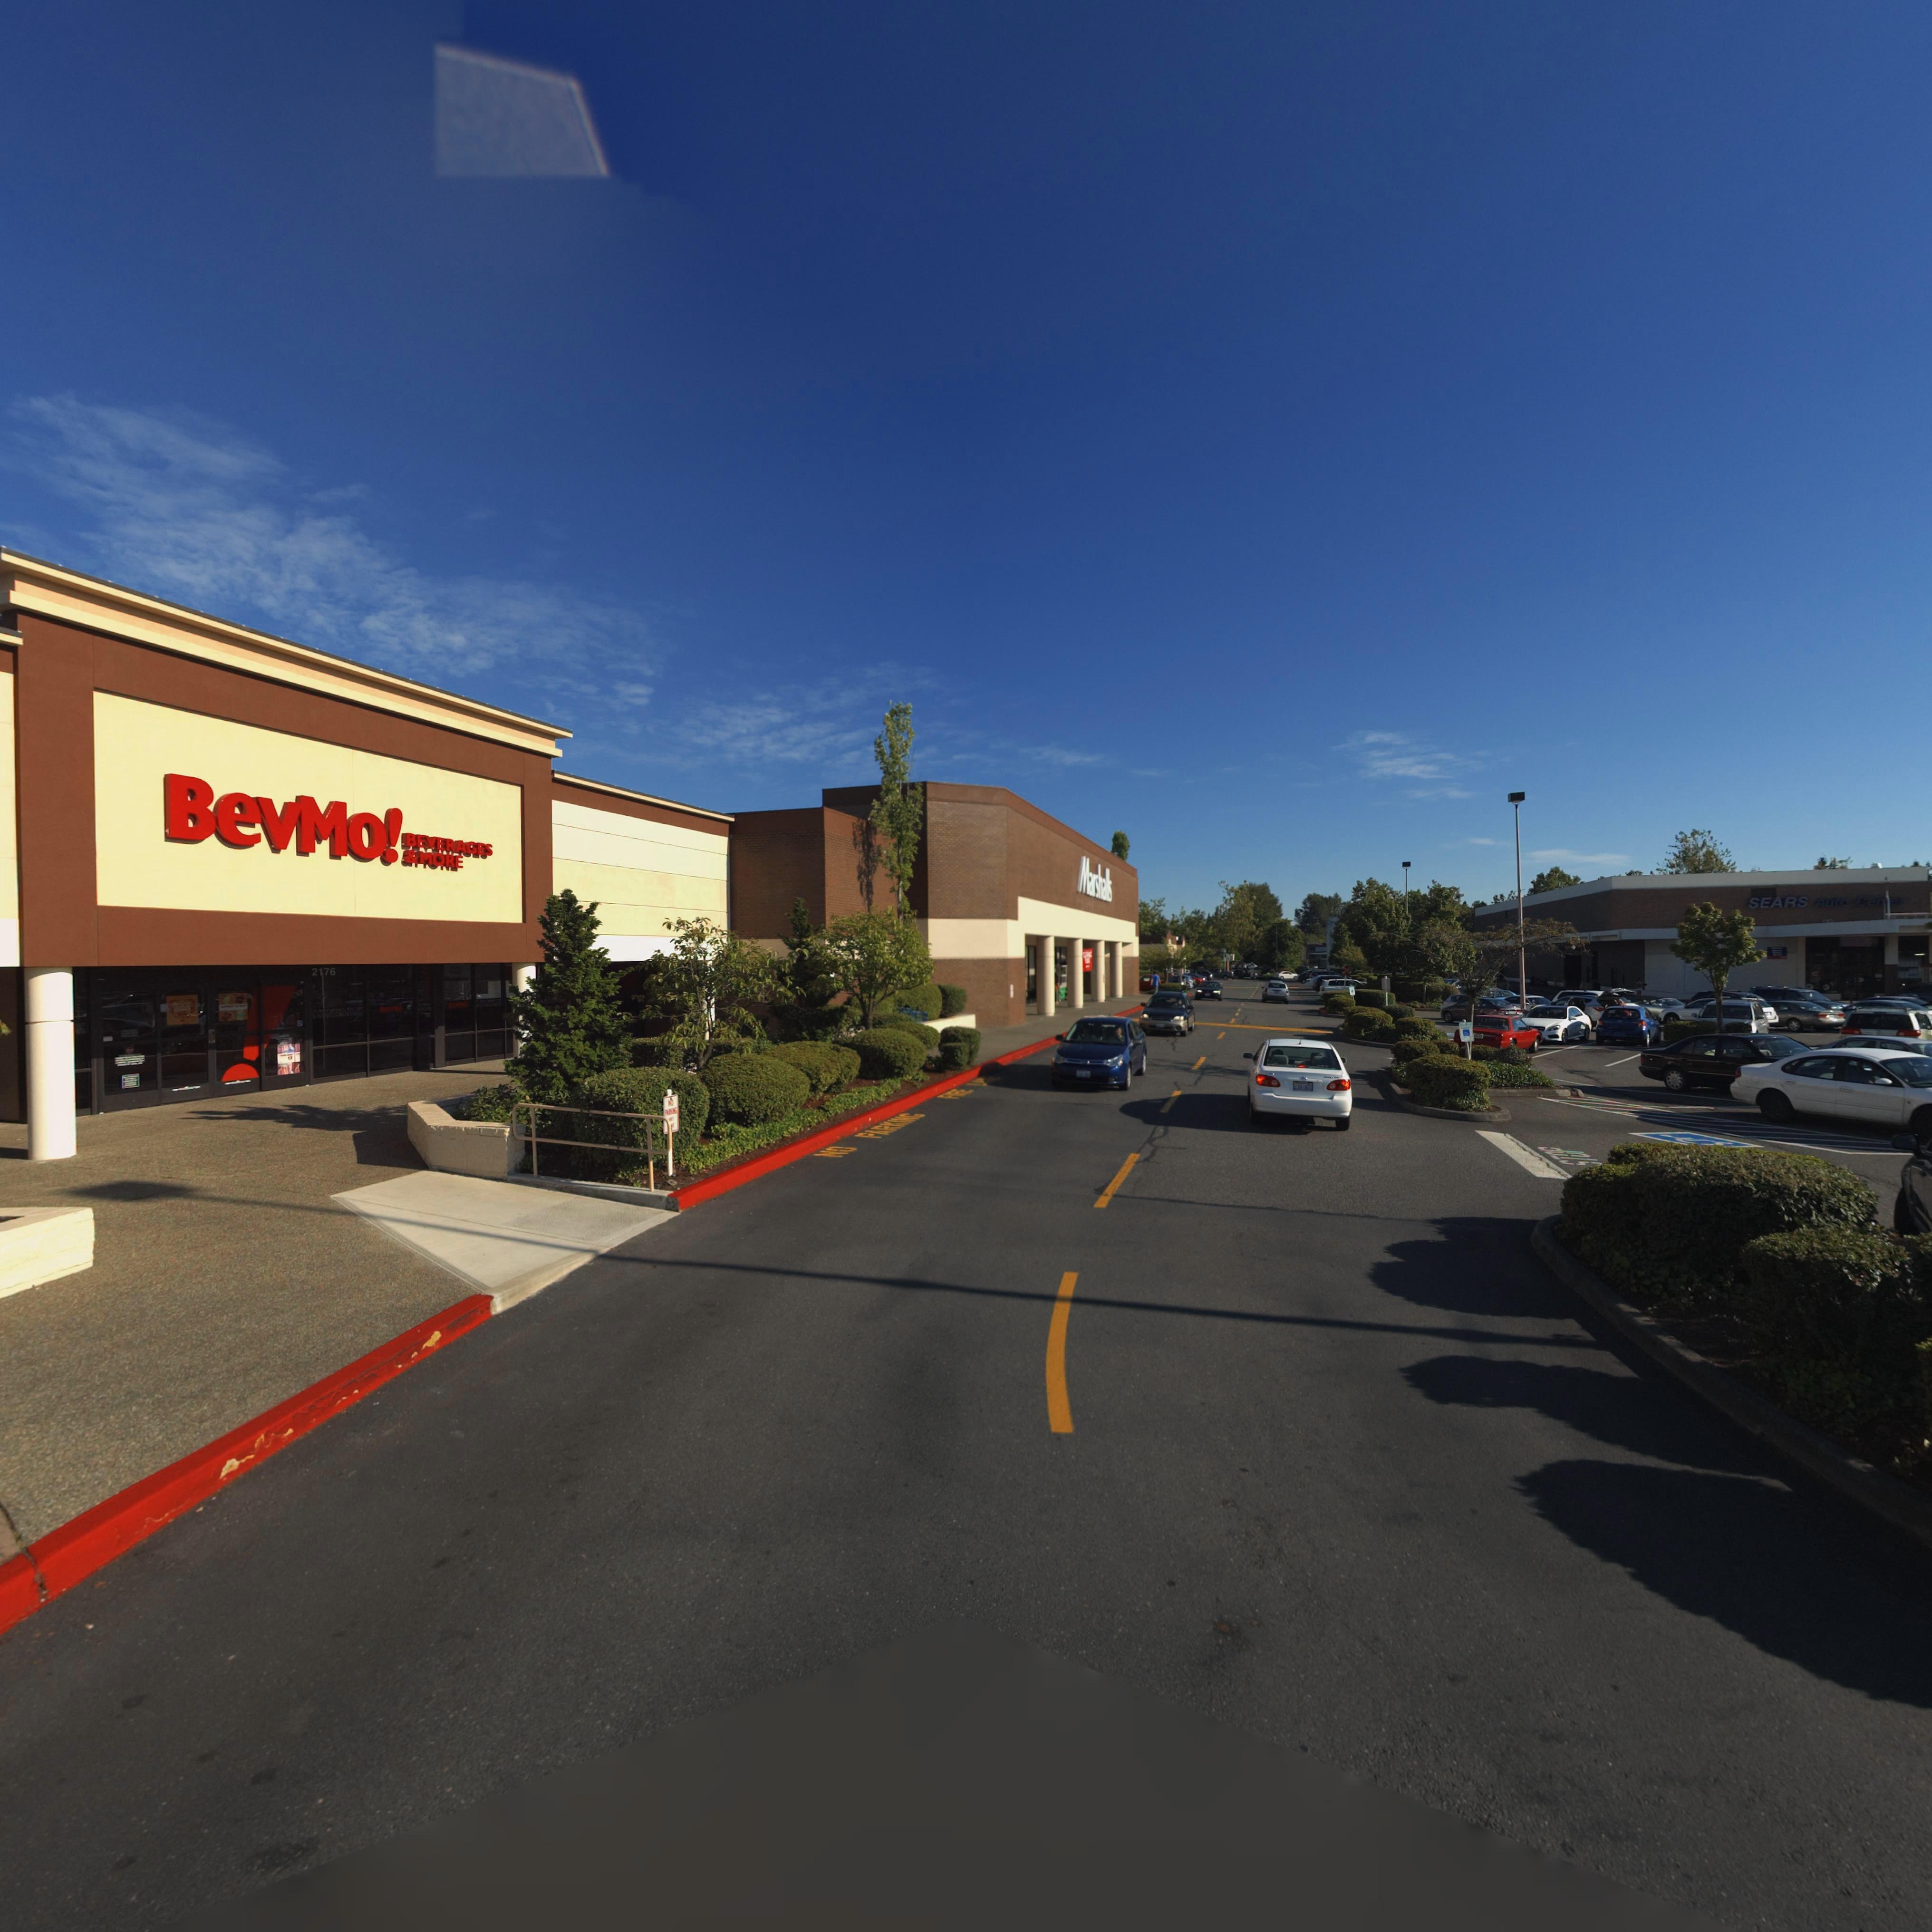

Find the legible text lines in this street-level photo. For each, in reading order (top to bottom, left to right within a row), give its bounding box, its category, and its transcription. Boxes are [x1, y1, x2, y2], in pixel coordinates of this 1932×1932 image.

[162, 768, 404, 867] BusinessName: BevMo!
[1076, 853, 1114, 903] BusinessName: Marshalls
[1748, 897, 1808, 908] BusinessName: SEARS
[311, 966, 336, 977] BusinessName: 2176